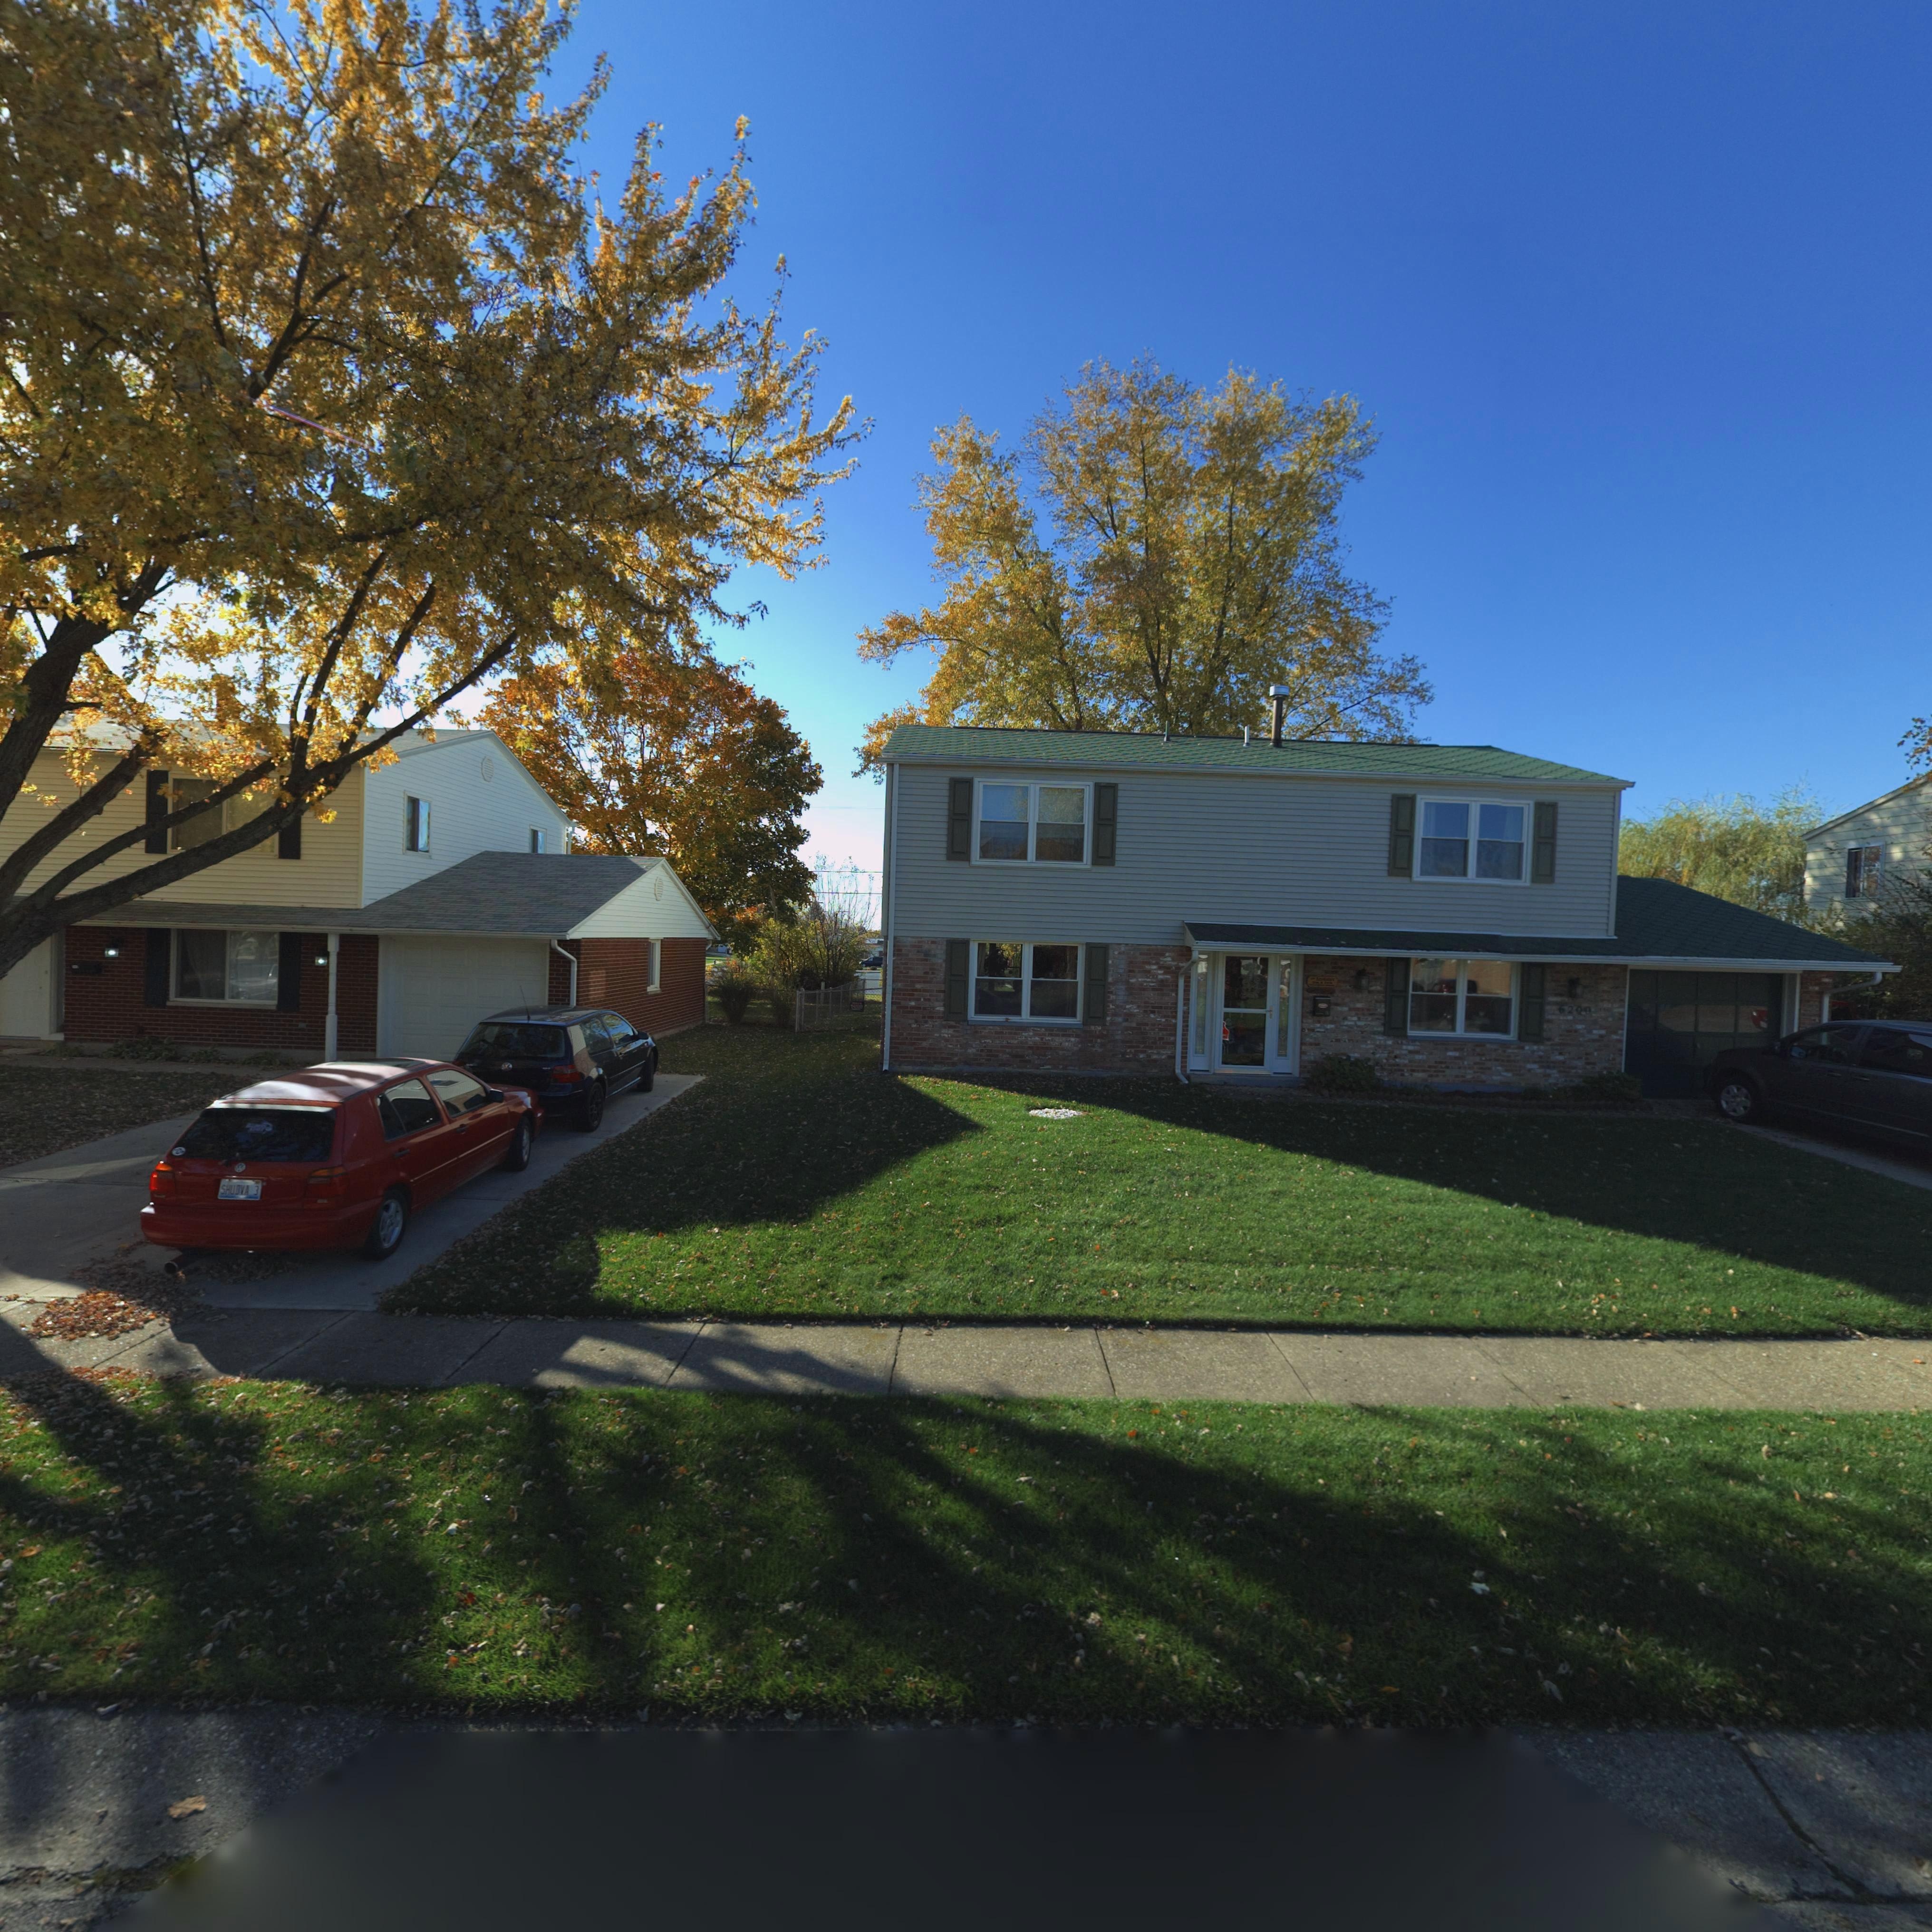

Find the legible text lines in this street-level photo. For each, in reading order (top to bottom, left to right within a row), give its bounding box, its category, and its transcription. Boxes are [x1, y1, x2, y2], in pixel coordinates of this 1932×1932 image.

[1557, 1004, 1592, 1016] StreetNumber: 6200